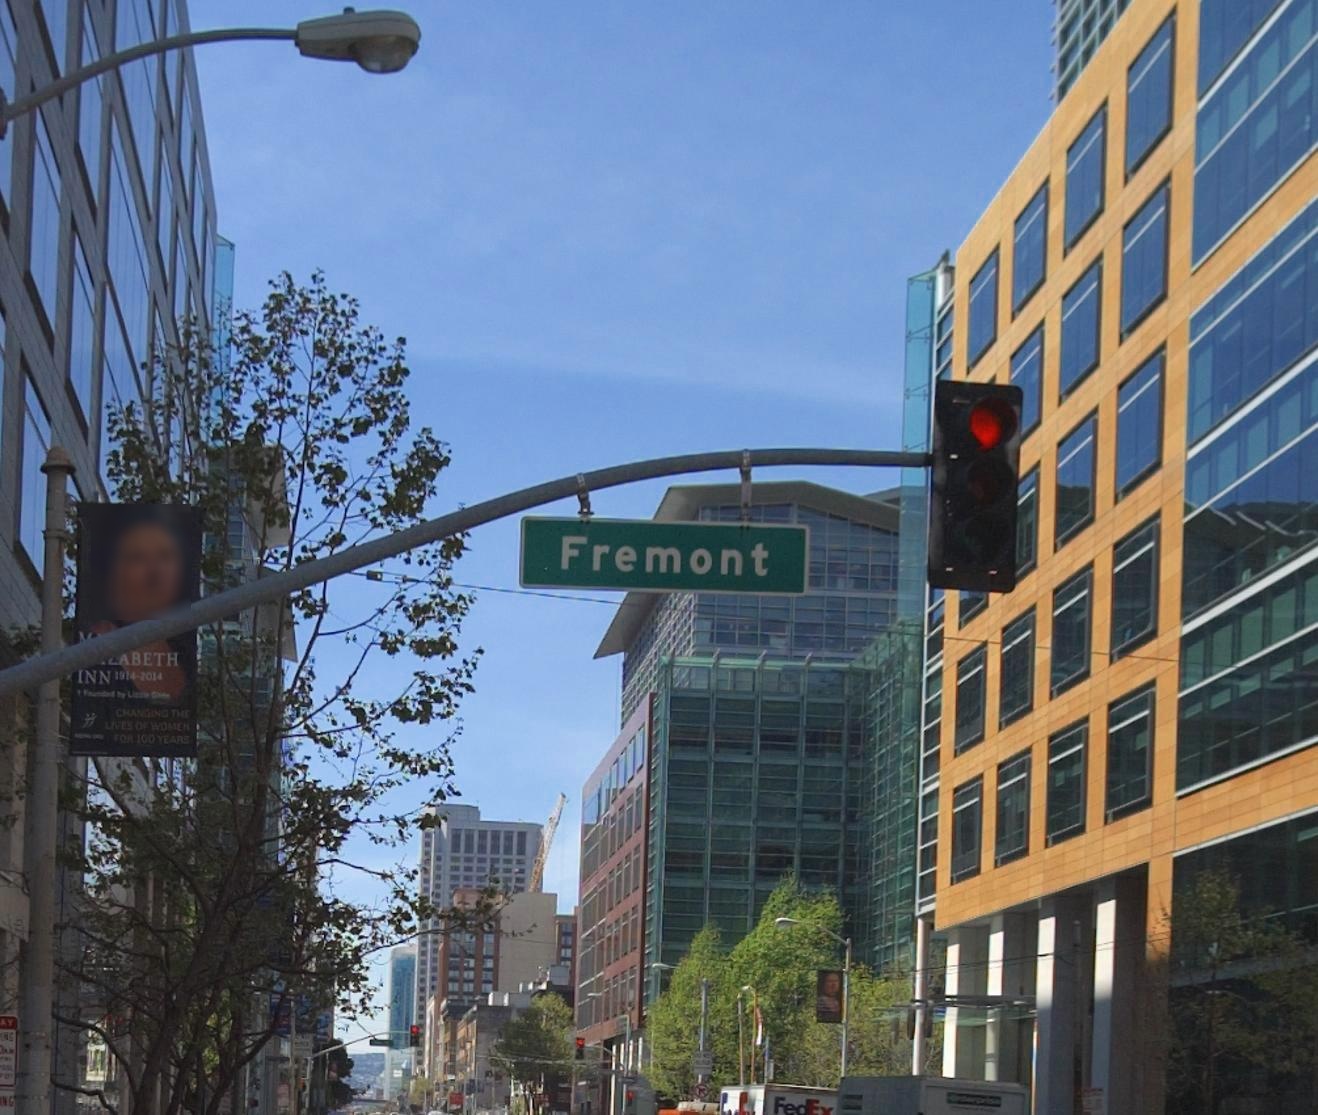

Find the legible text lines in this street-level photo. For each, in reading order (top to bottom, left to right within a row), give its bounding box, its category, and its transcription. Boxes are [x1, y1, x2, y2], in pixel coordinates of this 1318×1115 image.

[559, 533, 773, 581] StreetName: Fremont
[117, 651, 179, 667] None: ABETH
[75, 668, 112, 685] None: INN
[113, 670, 163, 681] None: 1*14-2014
[114, 708, 192, 719] None: CHANGING THE
[103, 720, 192, 732] None: LIVES OF WOMAN
[112, 733, 192, 745] None: FOR 100 YEARS
[773, 1095, 810, 1114] None: Fed